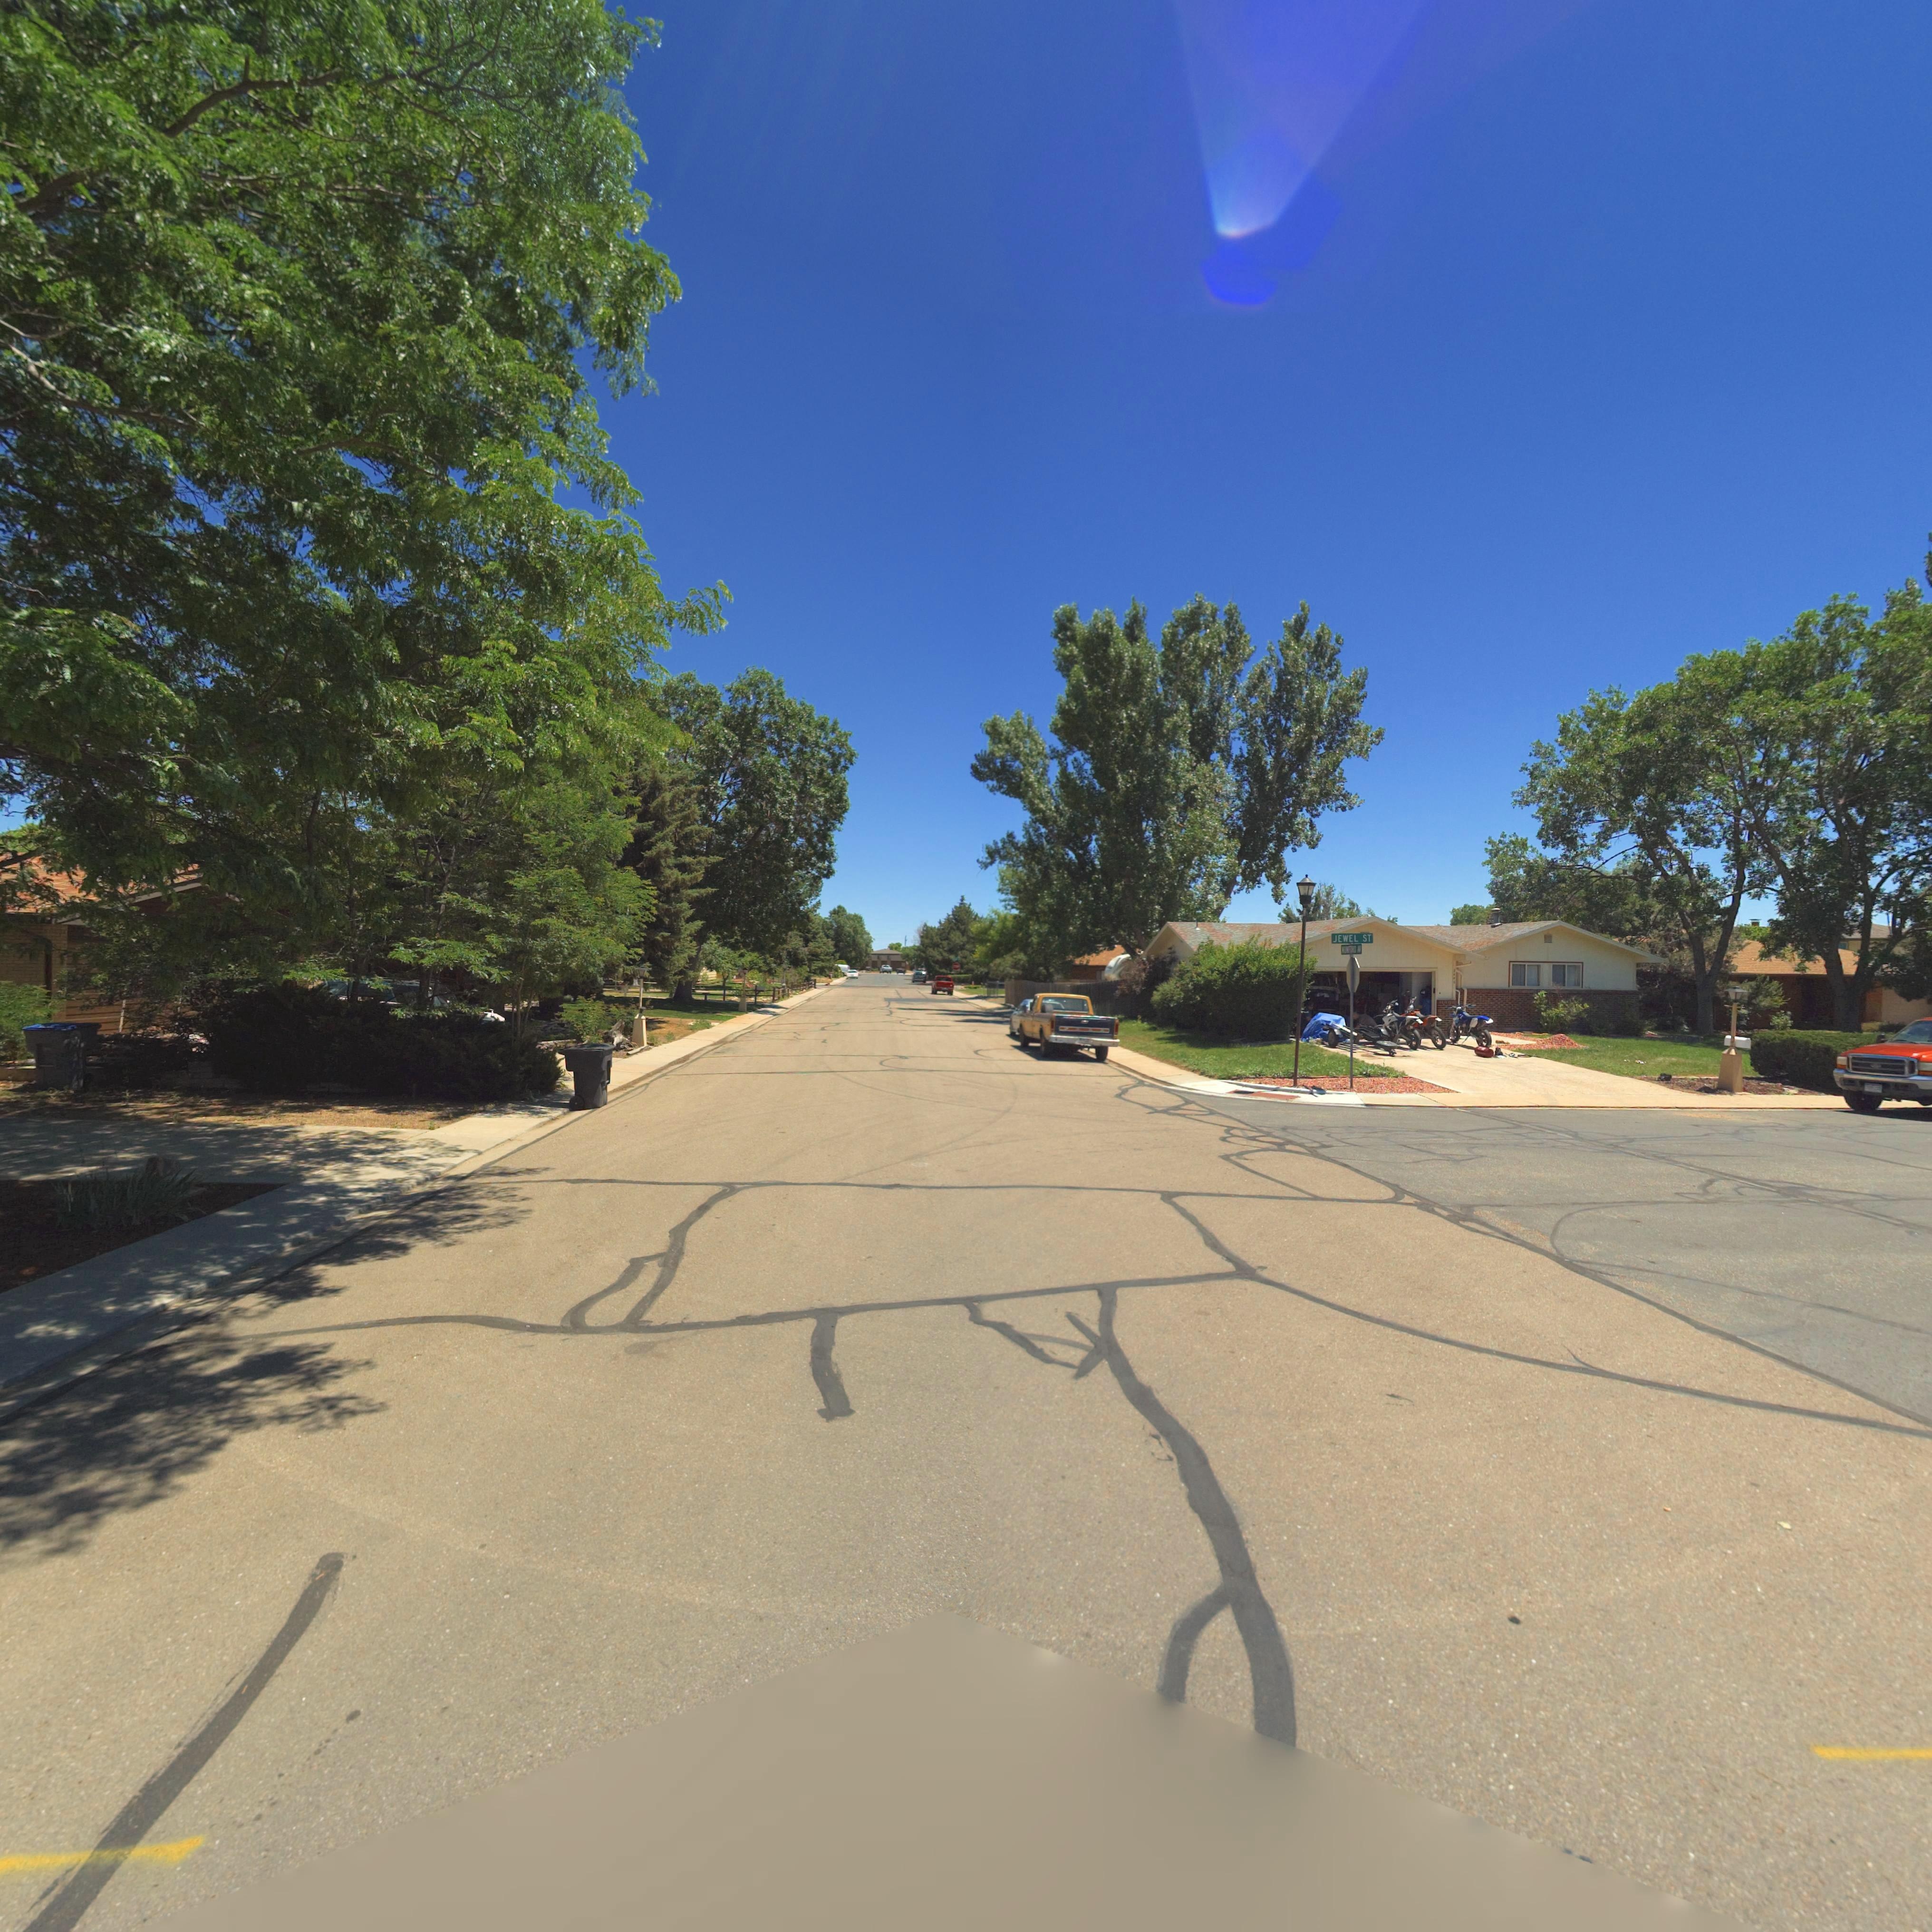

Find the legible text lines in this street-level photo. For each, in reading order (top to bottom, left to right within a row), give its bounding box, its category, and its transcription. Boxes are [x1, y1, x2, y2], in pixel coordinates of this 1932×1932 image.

[1332, 934, 1371, 942] StreetName: JEWEL ST
[1342, 945, 1361, 954] StreetName: MUMFORD AV
[1453, 968, 1455, 984] StreetNumber: 2448